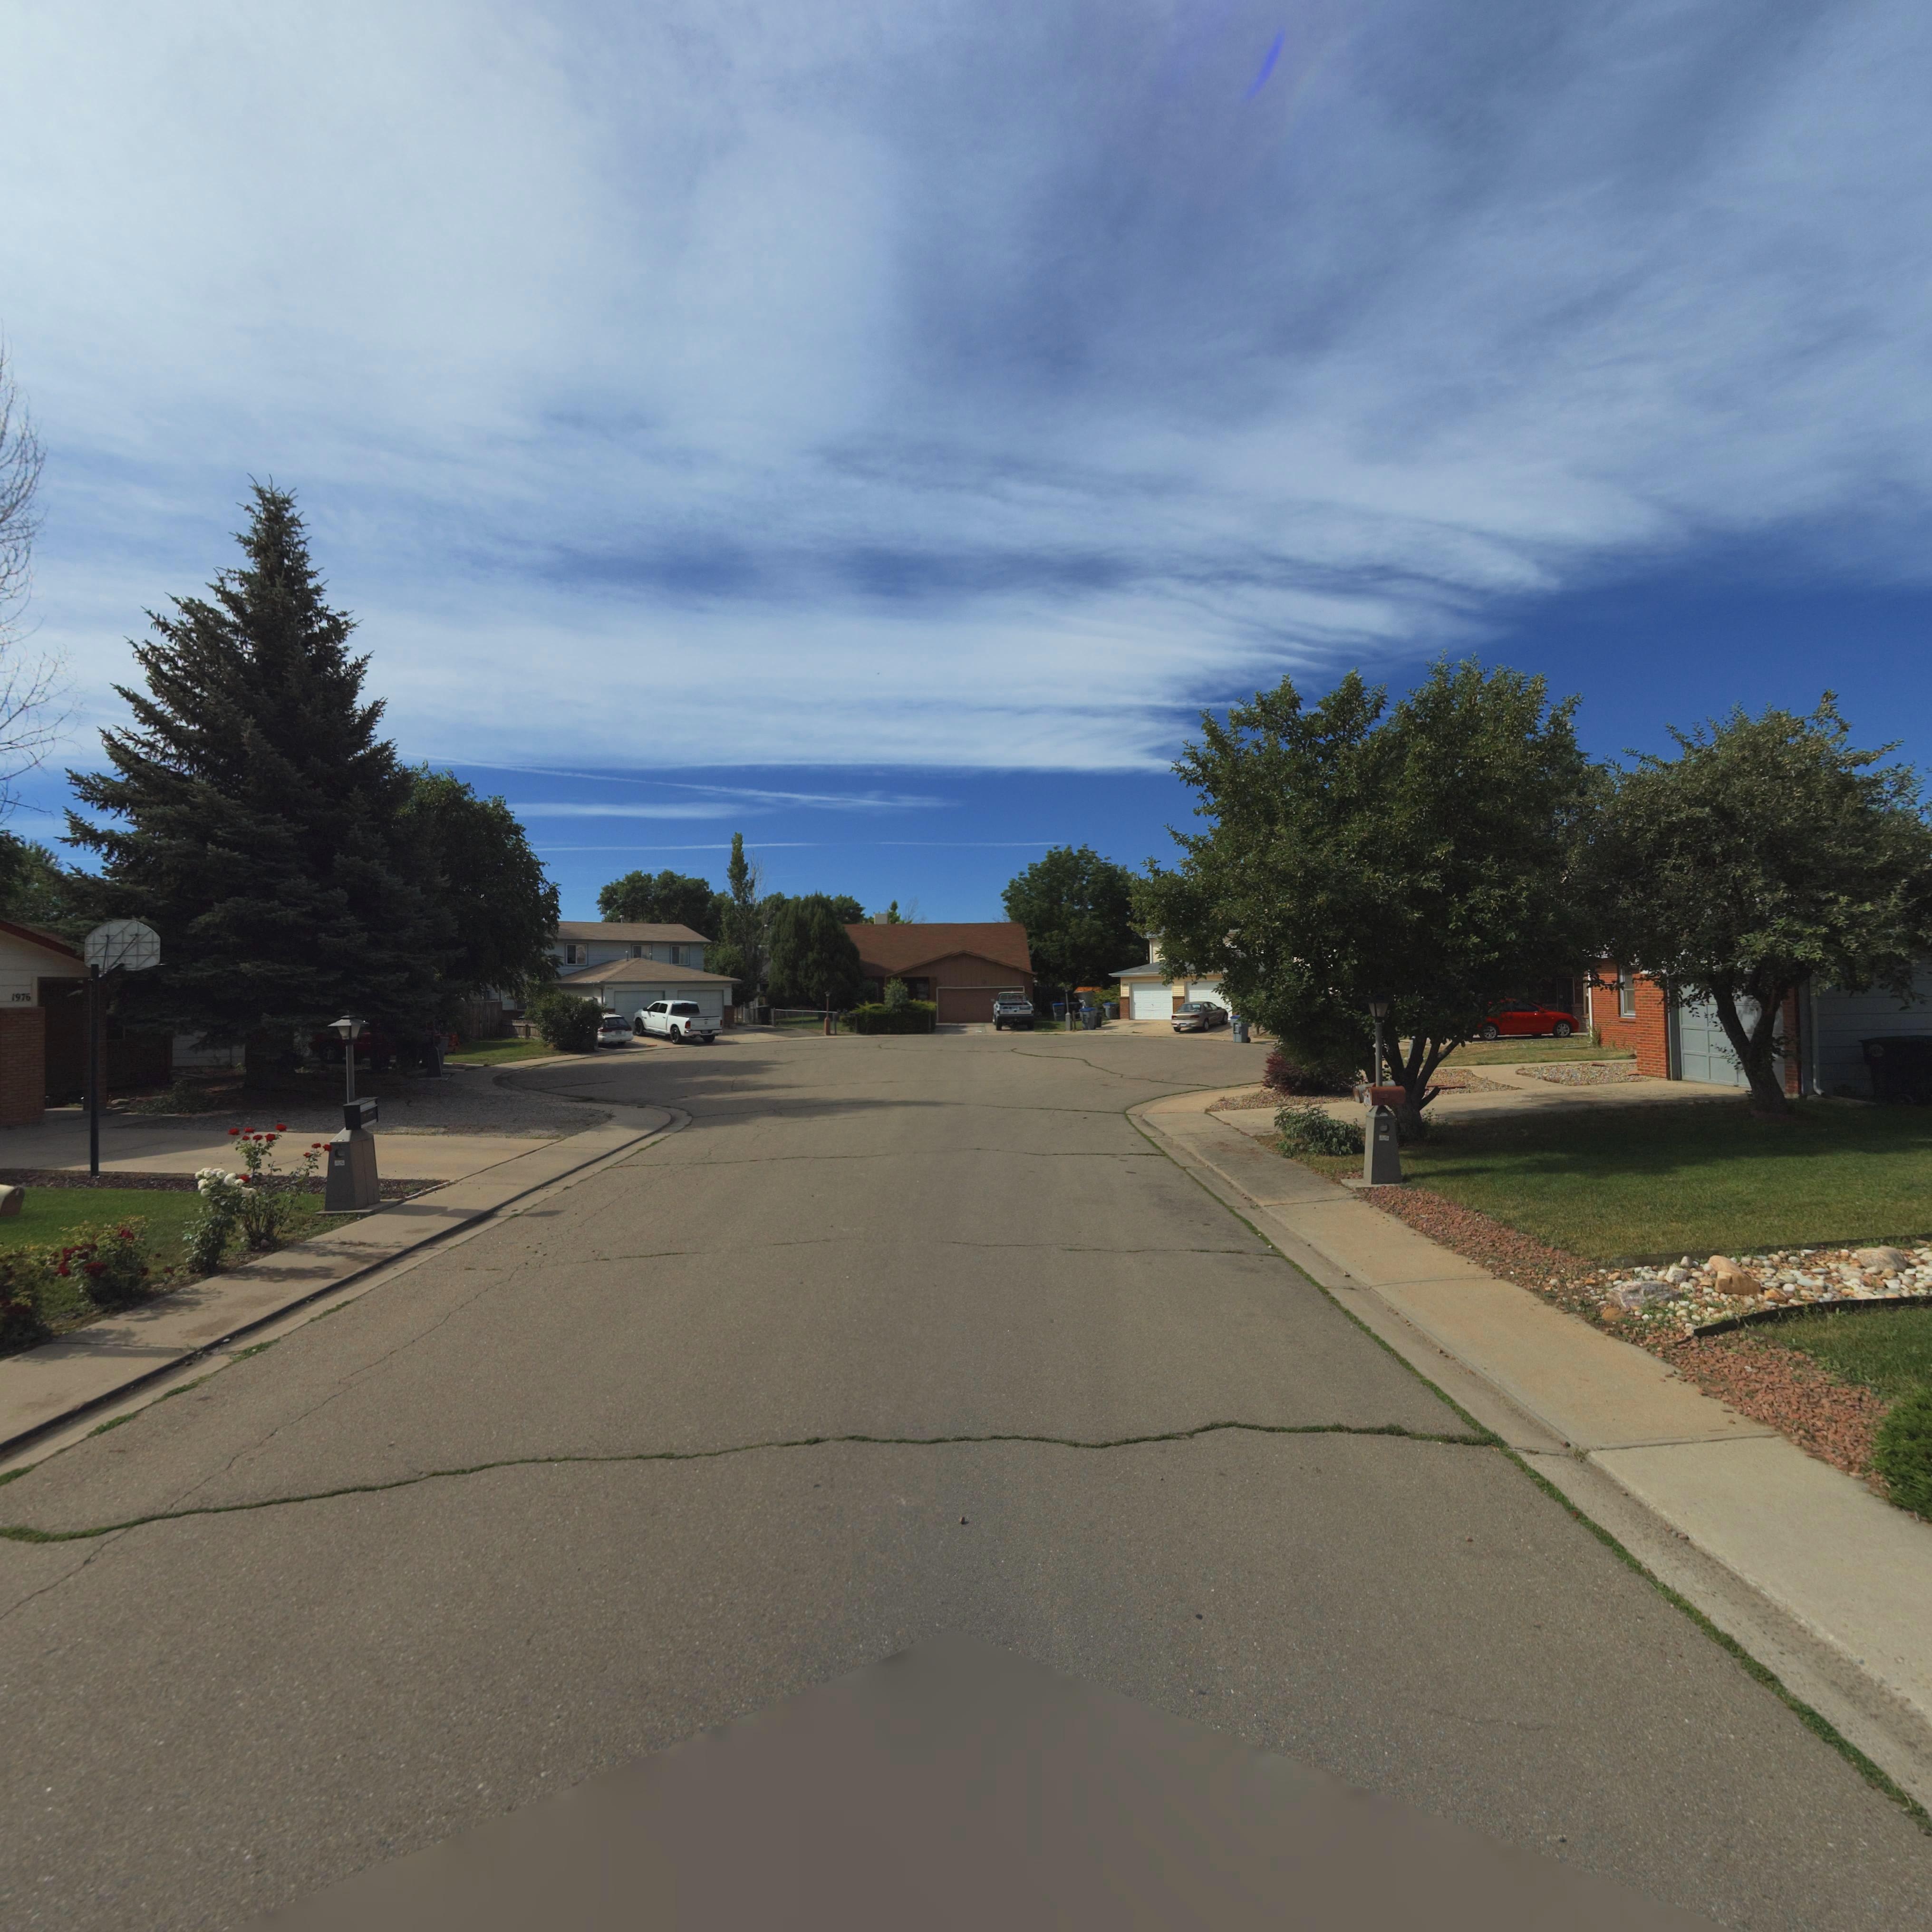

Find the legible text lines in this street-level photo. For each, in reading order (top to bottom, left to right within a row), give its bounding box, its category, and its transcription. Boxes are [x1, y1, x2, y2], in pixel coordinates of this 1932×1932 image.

[605, 986, 613, 990] StreetNumber: 1968
[11, 993, 31, 1002] StreetNumber: 1976